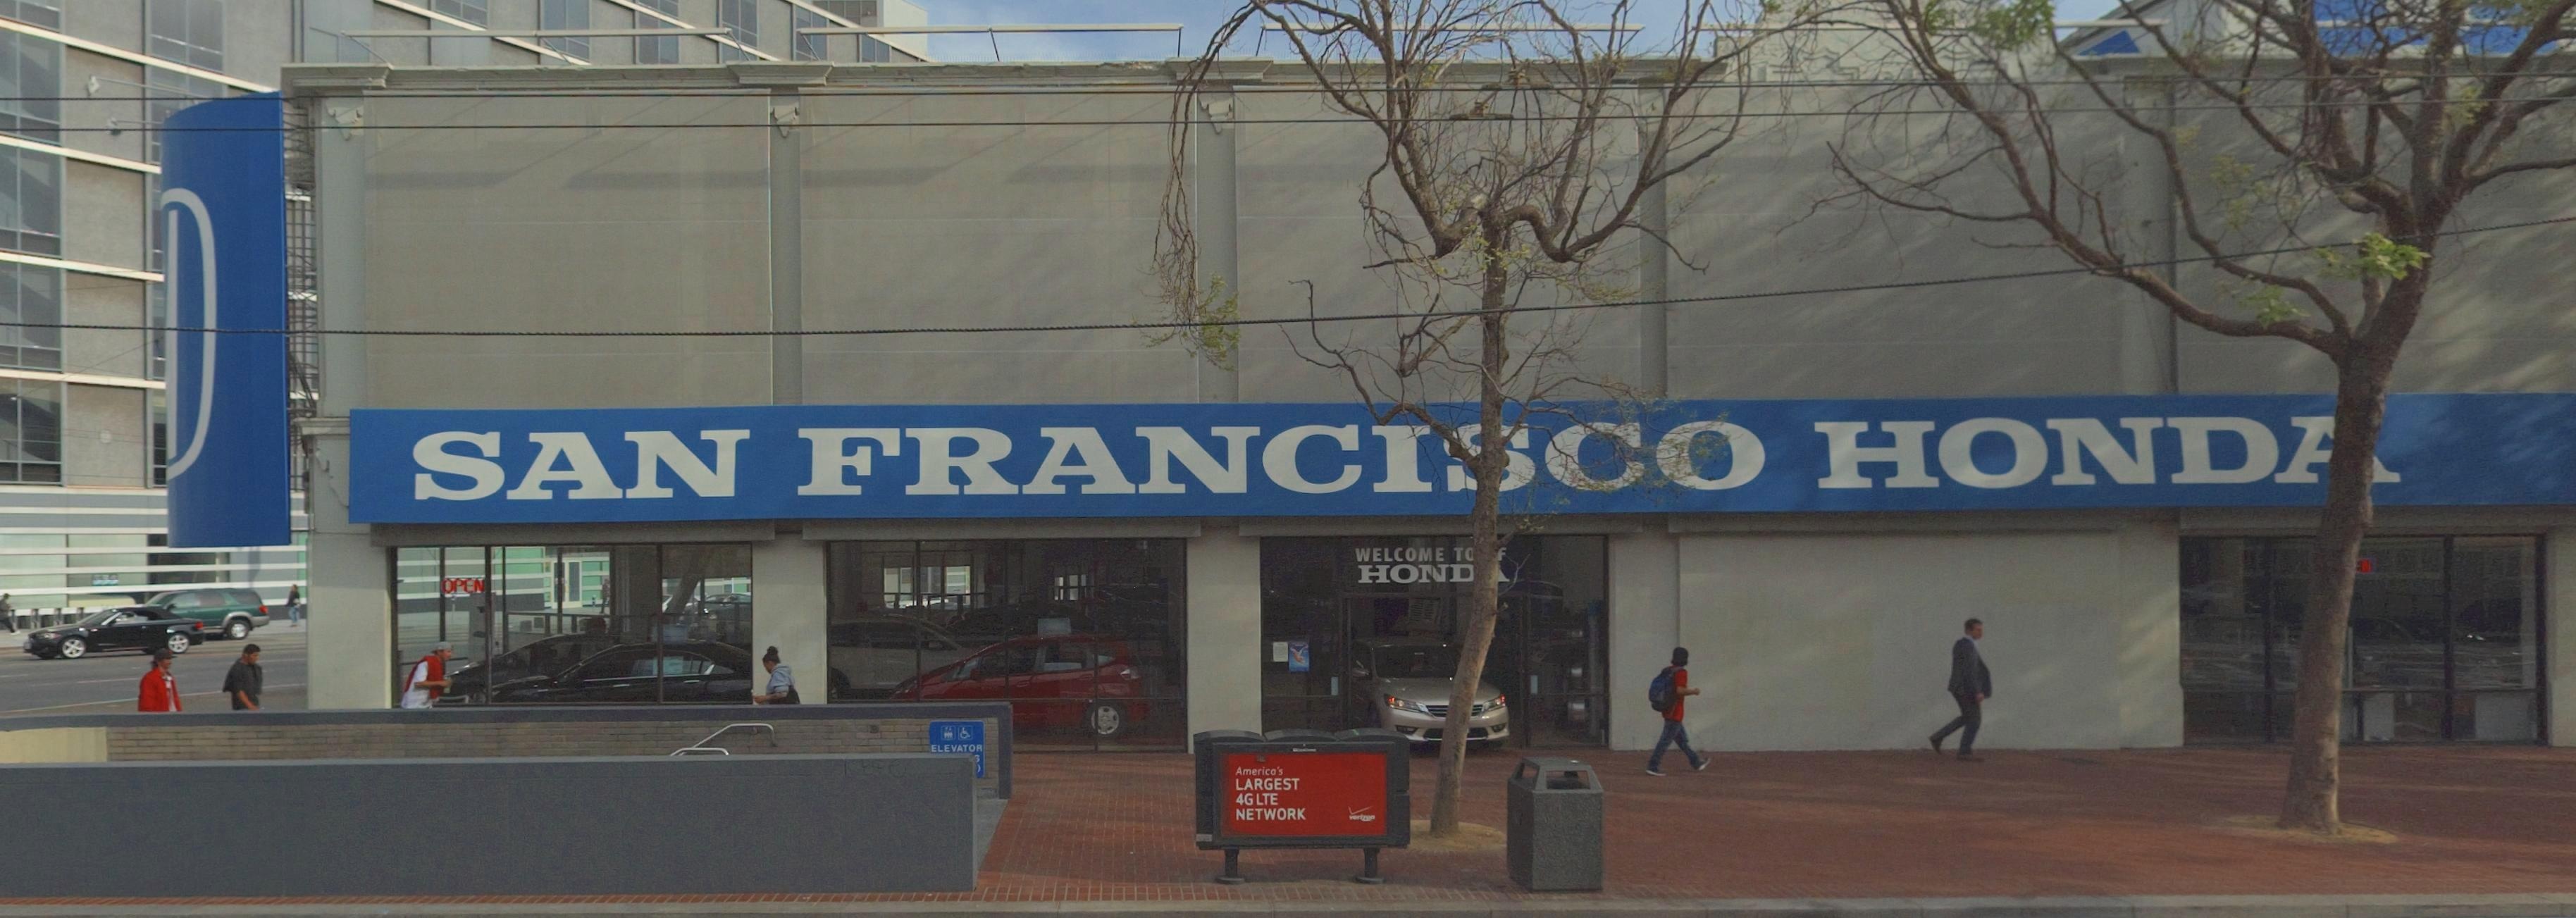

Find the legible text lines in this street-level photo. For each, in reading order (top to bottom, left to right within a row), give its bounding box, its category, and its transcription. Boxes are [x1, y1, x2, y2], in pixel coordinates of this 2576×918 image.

[409, 412, 2406, 504] BusinessName: SAN FRANCISCO HANDA
[1352, 545, 1466, 564] None: WELCOME T
[1356, 562, 1451, 584] BusinessName: HON
[438, 576, 485, 596] None: OPEN
[930, 743, 984, 754] None: ELEVATOR
[1232, 763, 1285, 778] None: Ammerica's
[1234, 776, 1302, 792] None: LARGEST
[1234, 790, 1280, 807] None: 4G LTE
[1234, 806, 1308, 824] None: NETWORK